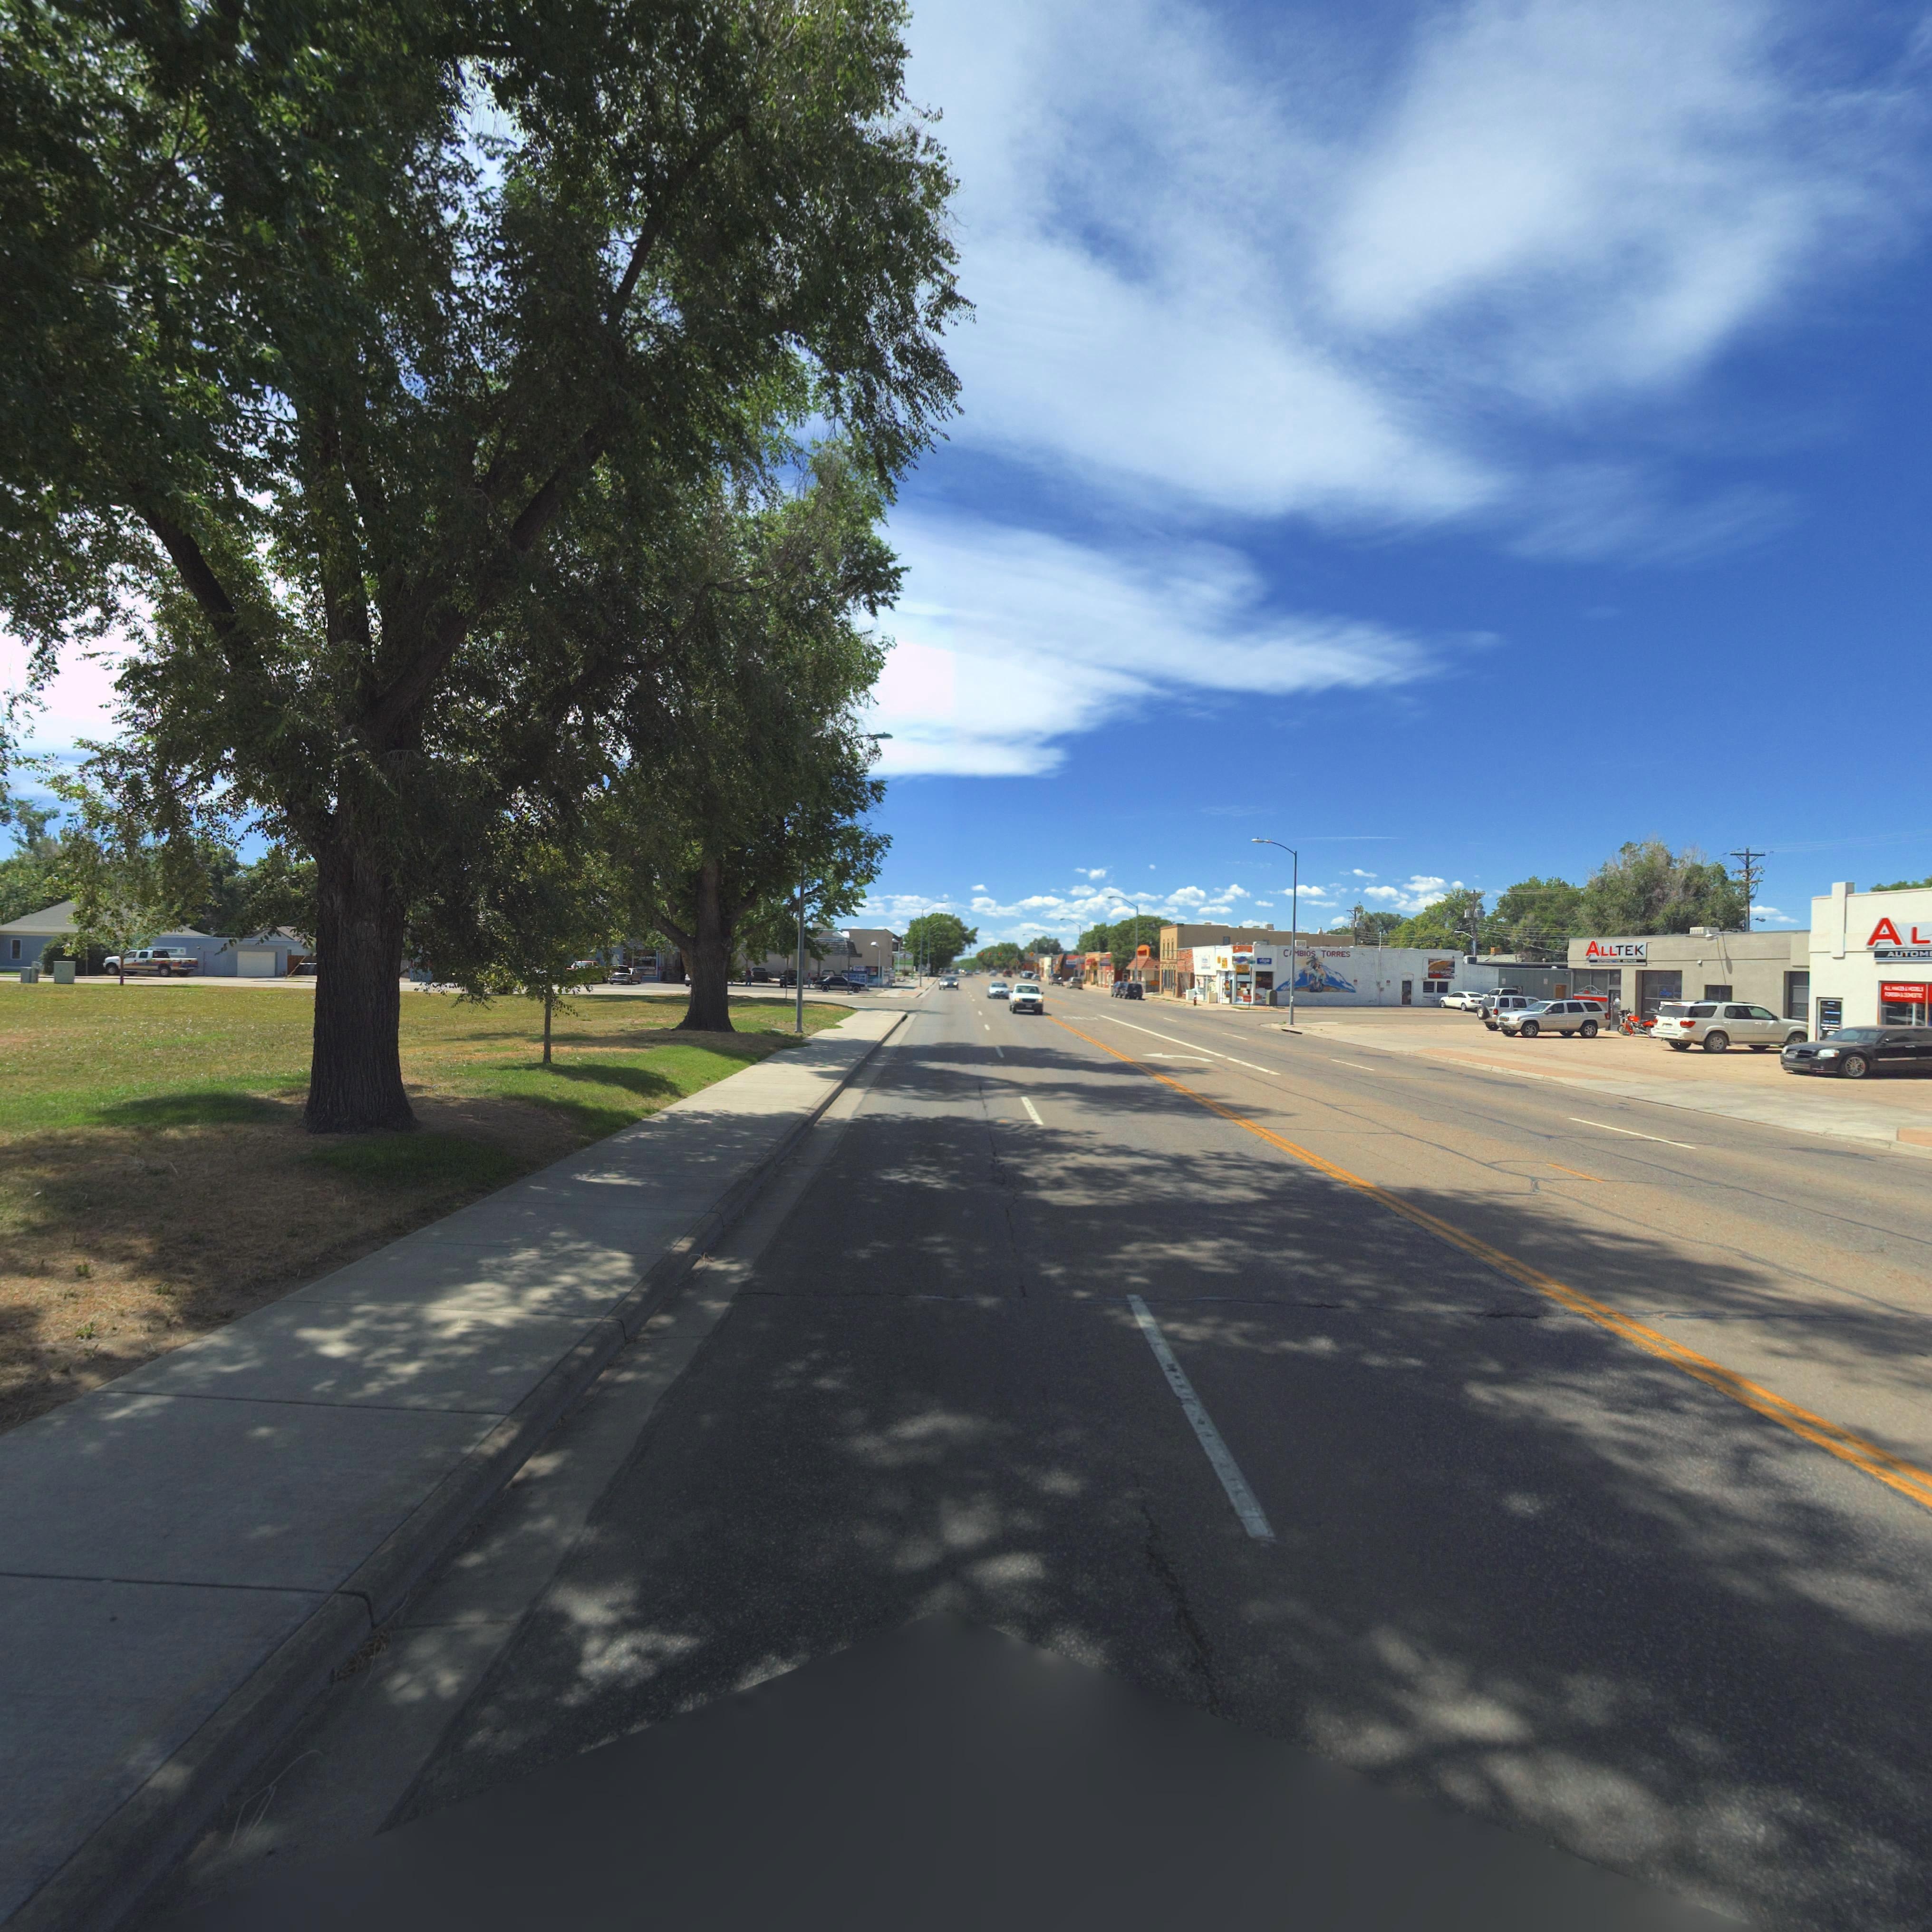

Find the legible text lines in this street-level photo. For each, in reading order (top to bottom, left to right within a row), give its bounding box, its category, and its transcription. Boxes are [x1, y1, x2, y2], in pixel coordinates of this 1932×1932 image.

[1864, 916, 1931, 947] BusinessName: AL
[1584, 940, 1644, 956] BusinessName: ALLTEK
[1283, 949, 1351, 957] BusinessName: C*MBIOS TORRES
[1887, 951, 1929, 957] BusinessName: AUTOM
[851, 974, 860, 978] BusinessName: EN'S
[860, 978, 865, 982] BusinessName: CO